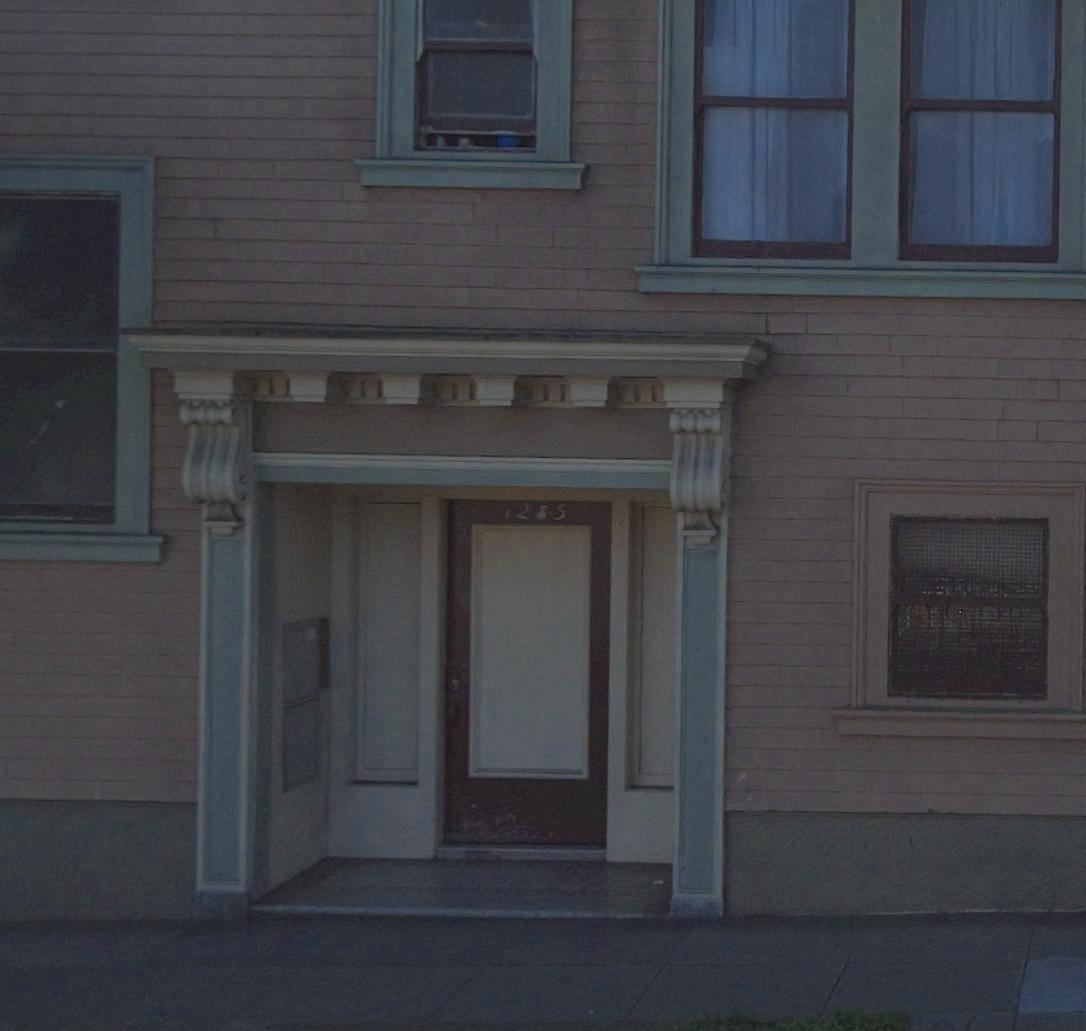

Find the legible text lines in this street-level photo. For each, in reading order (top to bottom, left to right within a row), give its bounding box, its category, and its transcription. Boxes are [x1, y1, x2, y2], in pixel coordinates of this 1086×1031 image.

[503, 502, 568, 521] StreetNumber: 1285